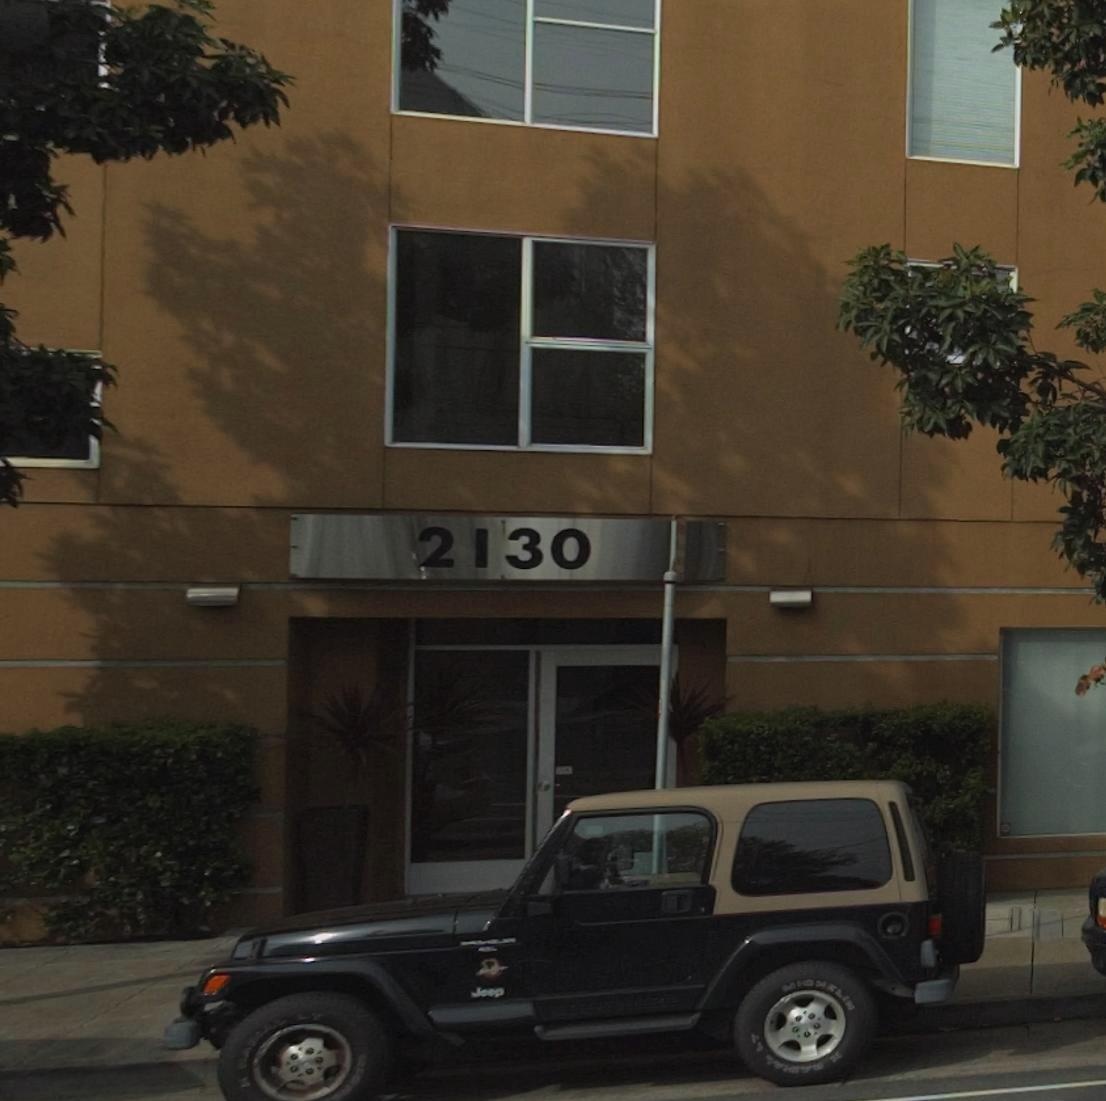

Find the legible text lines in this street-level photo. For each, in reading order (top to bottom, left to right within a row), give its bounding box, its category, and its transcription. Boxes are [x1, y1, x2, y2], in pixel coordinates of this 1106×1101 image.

[414, 524, 594, 572] StreetNumber: 2130
[469, 985, 506, 999] None: Jeep